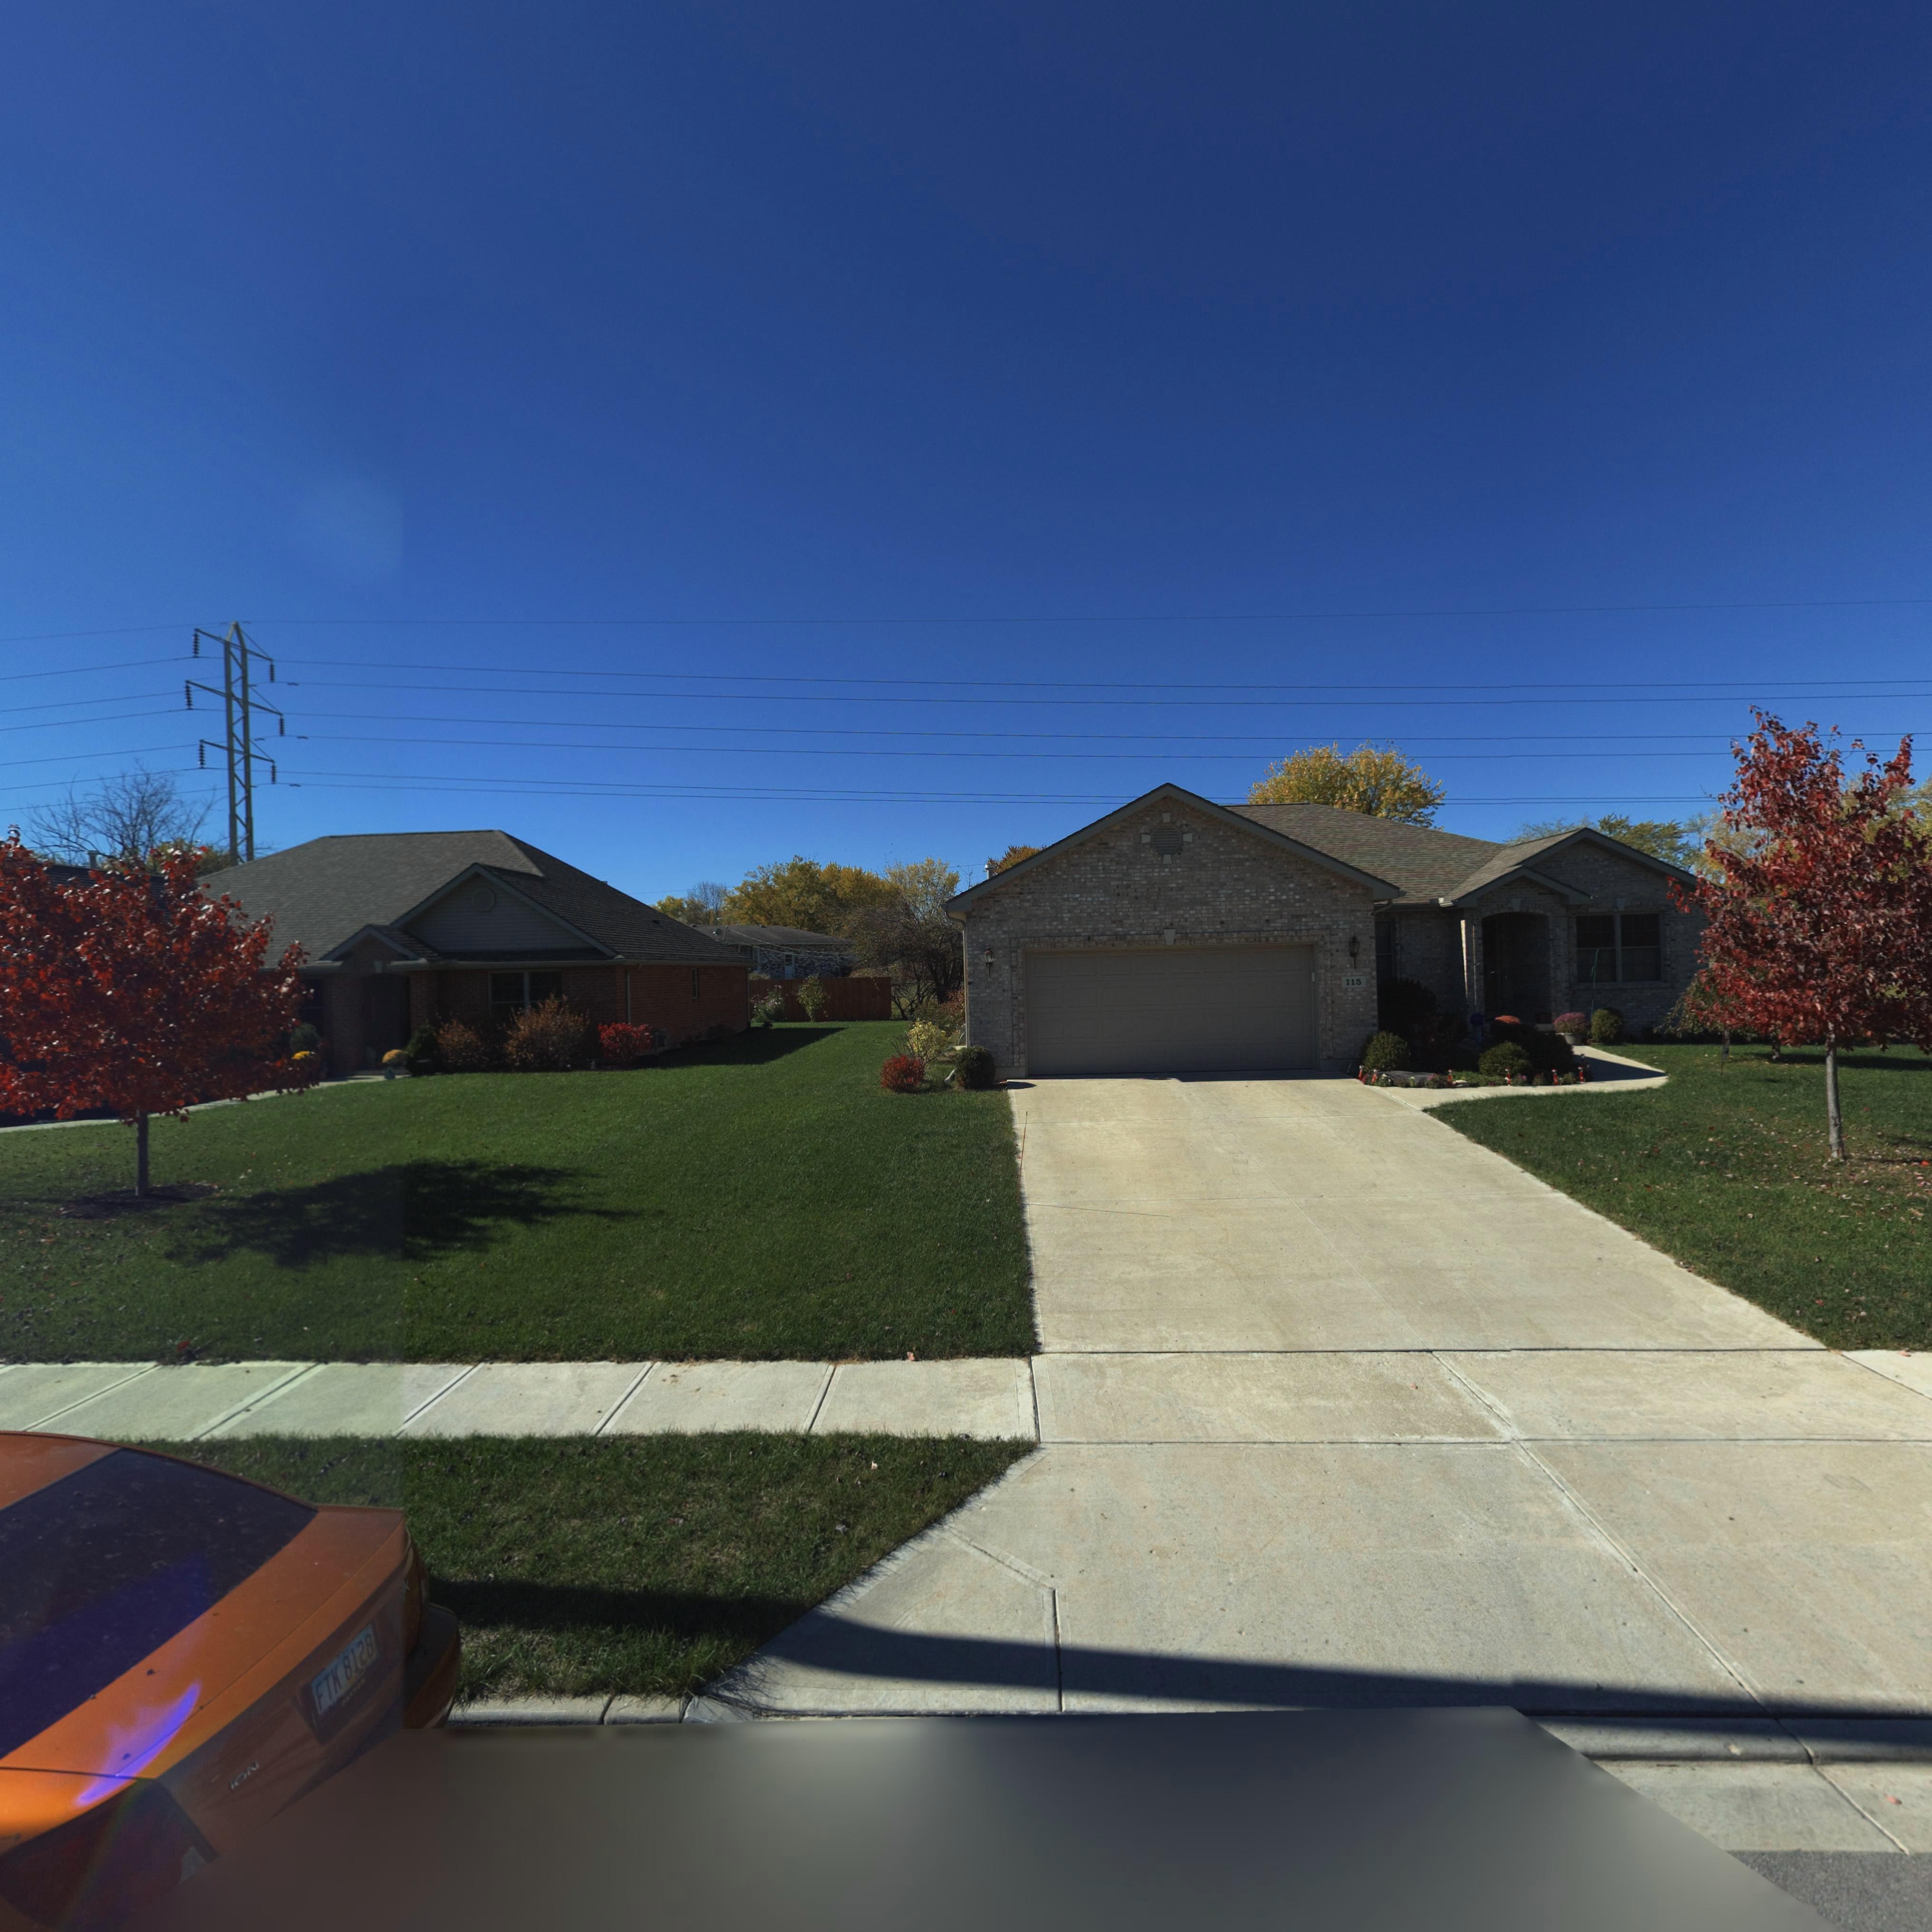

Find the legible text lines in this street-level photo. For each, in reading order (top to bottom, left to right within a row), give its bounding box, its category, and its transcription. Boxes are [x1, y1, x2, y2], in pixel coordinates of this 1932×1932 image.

[1345, 977, 1362, 986] StreetNumber: 115